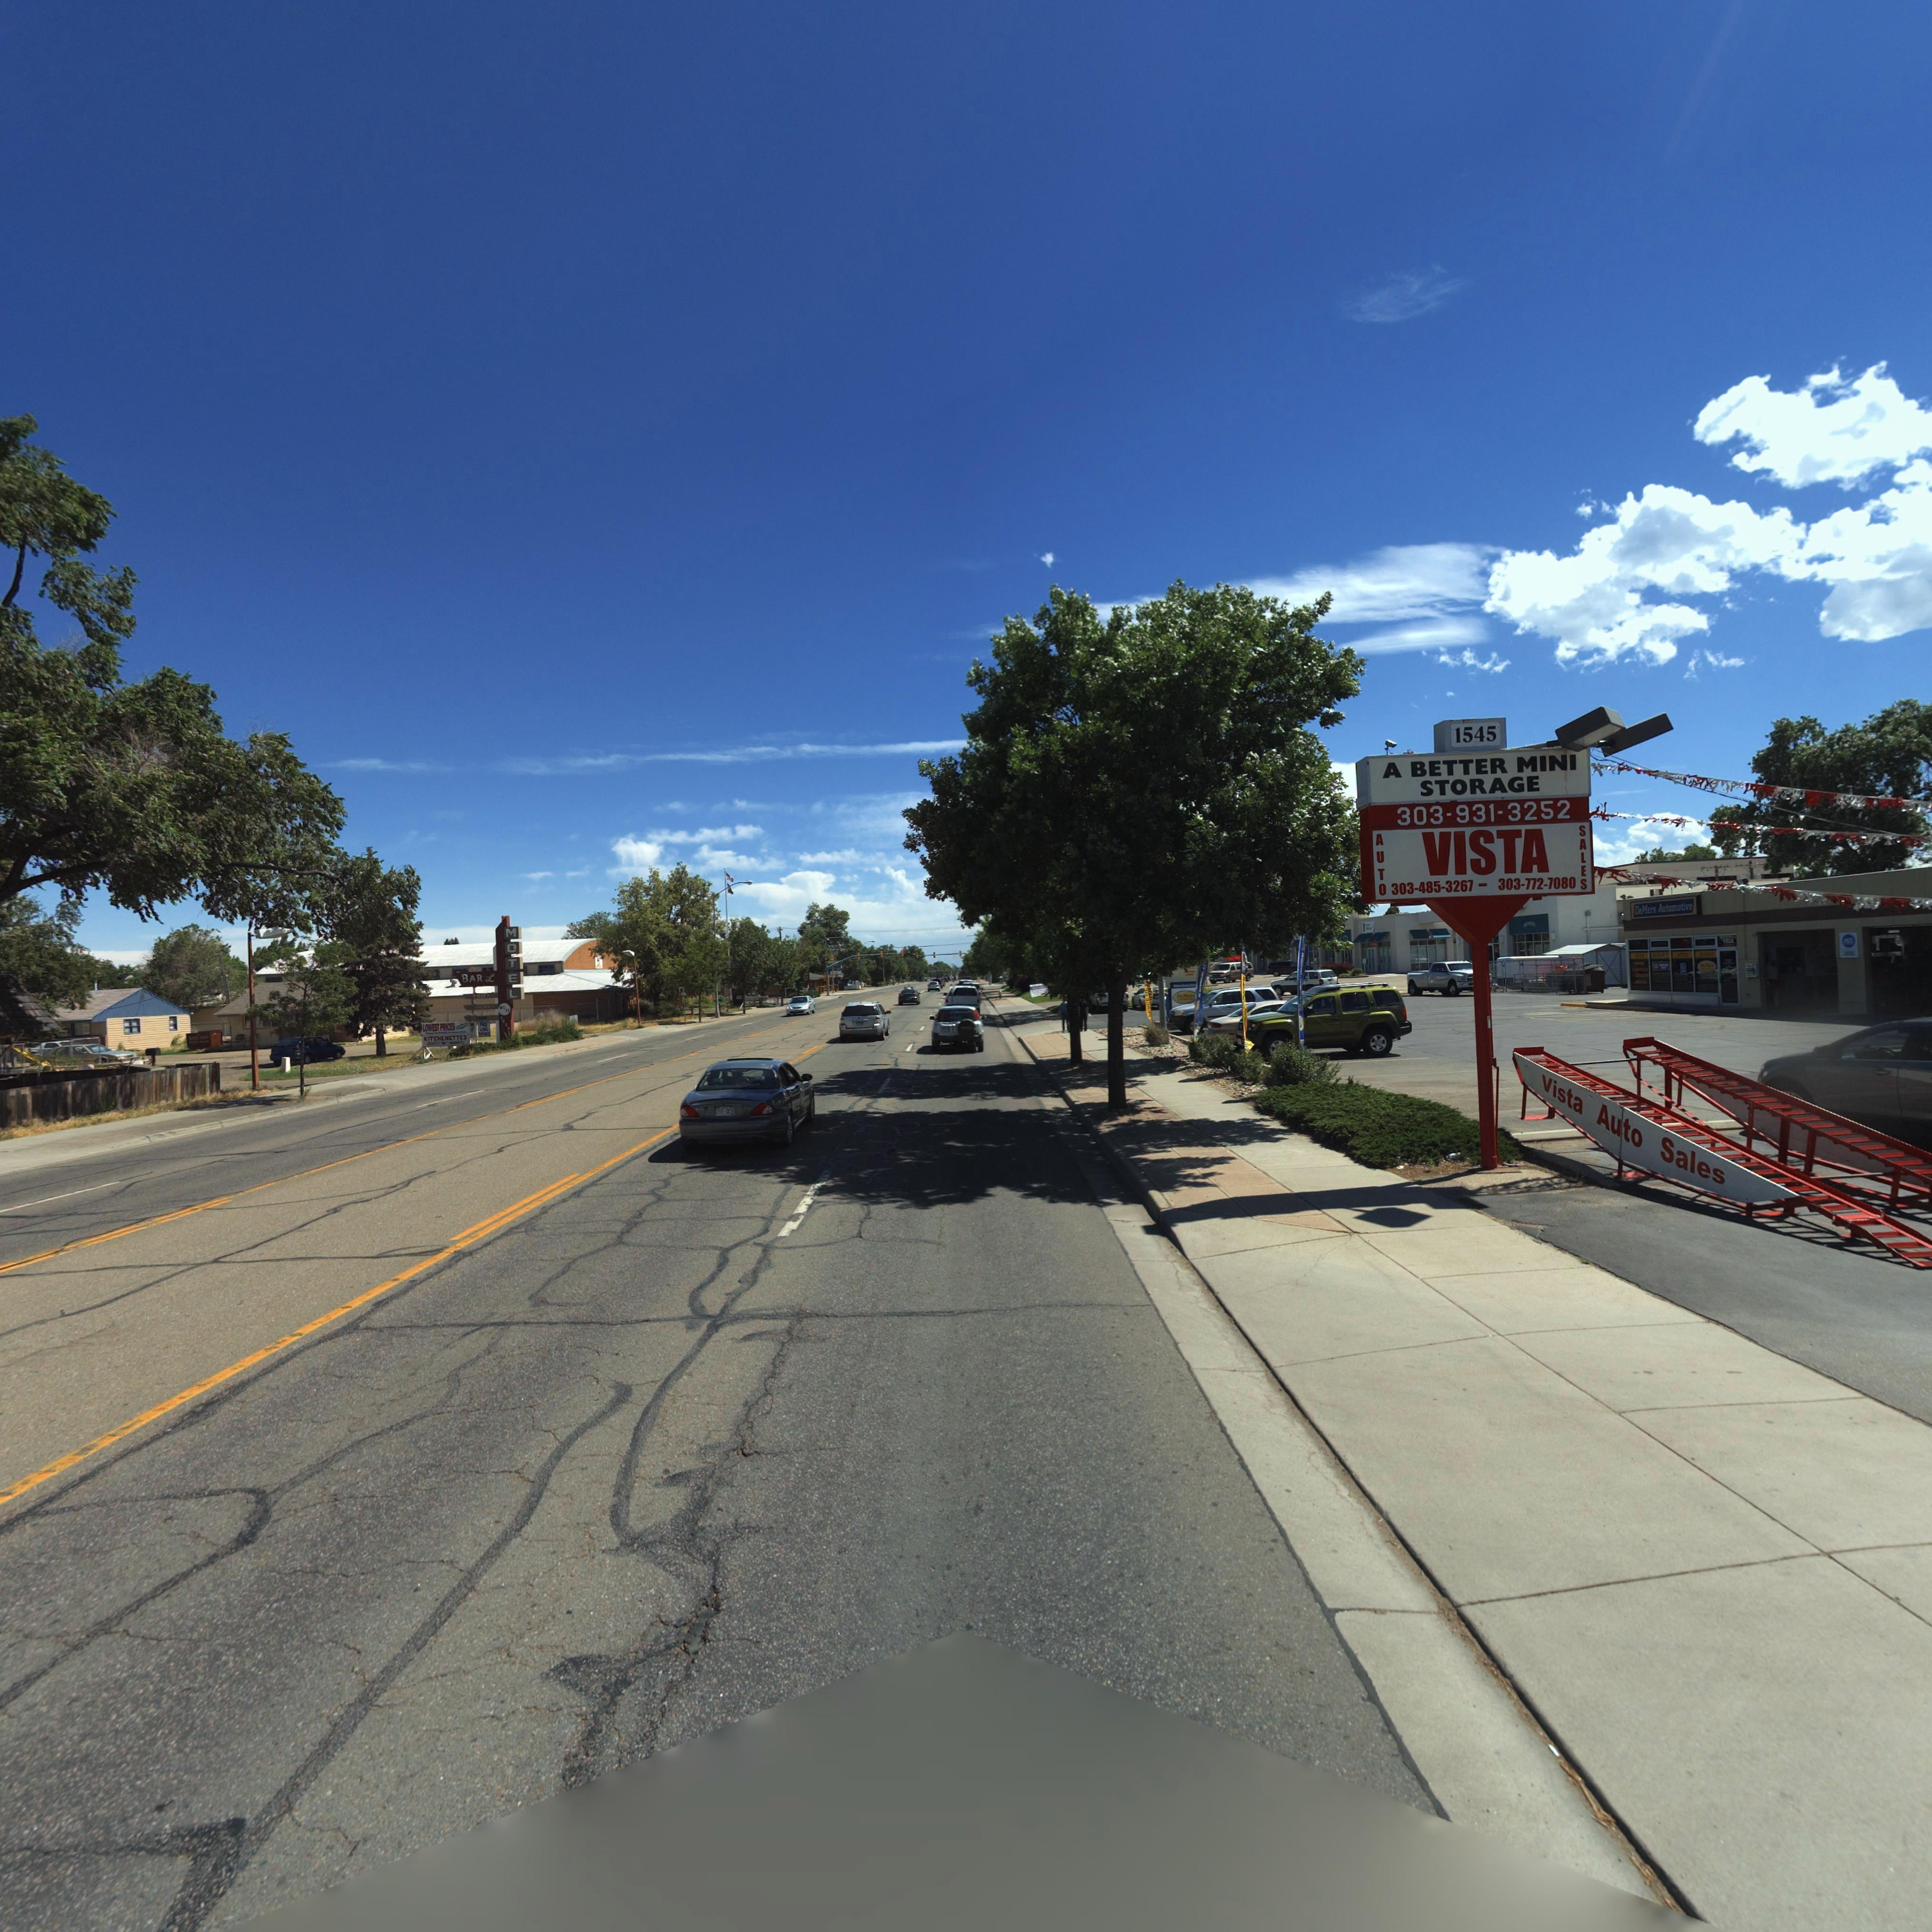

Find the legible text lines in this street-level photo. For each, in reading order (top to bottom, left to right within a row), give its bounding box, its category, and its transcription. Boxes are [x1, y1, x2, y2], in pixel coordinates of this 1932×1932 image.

[1454, 725, 1497, 744] StreetNumber: 1545
[1381, 754, 1578, 780] BusinessName: A BETTER MINI
[1419, 774, 1541, 797] BusinessName: STORAGE
[1375, 832, 1387, 896] BusinessName: AUTO
[1420, 827, 1550, 877] BusinessName: VISTA
[1578, 824, 1588, 890] BusinessName: SALES
[1634, 901, 1692, 915] BusinessName: DeMers Automotive
[1722, 938, 1733, 943] StreetNumber: 15**
[505, 926, 519, 999] BusinessName: MOTEL
[1700, 963, 1714, 967] BusinessName: D*****
[461, 973, 495, 983] BusinessName: Bar L
[1177, 993, 1195, 998] BusinessName: DeMer*
[500, 1015, 510, 1031] StreetNumber: 1*2*
[1541, 1072, 1727, 1185] BusinessName: Vista Auto Sales